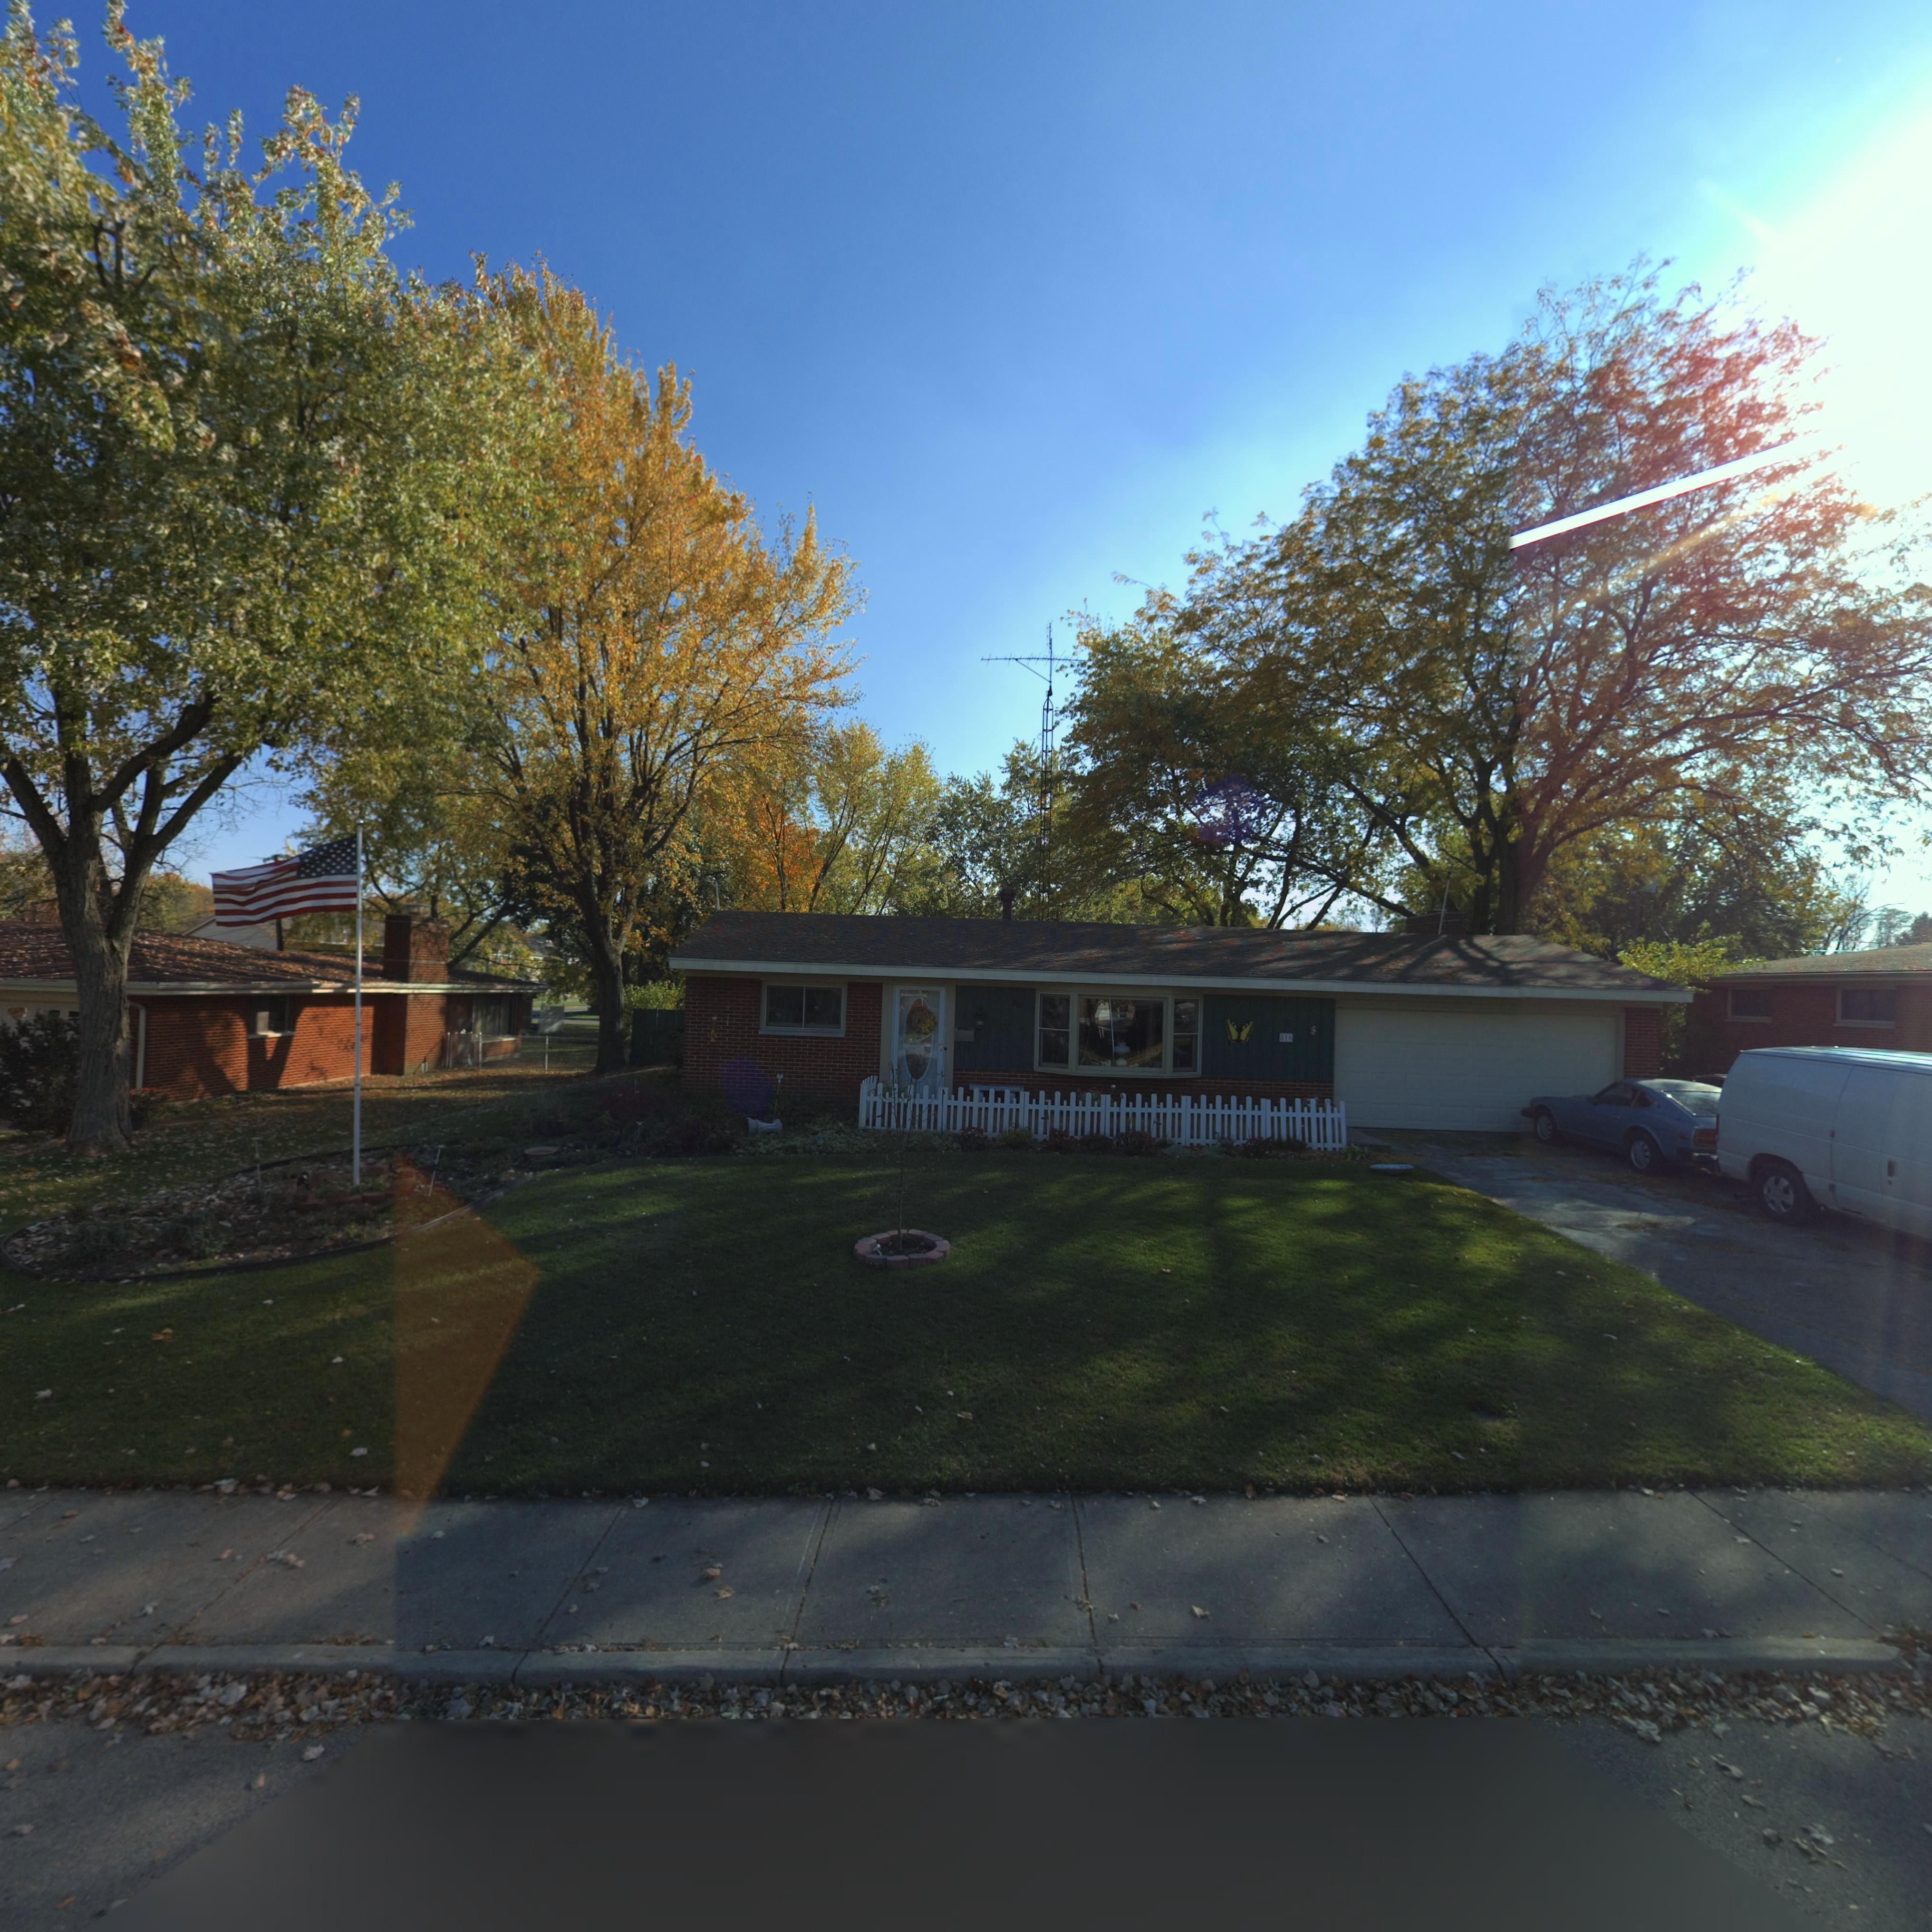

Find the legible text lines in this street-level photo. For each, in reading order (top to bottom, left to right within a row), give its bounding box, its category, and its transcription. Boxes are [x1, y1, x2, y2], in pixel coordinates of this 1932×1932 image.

[1280, 1034, 1292, 1041] StreetNumber: 816